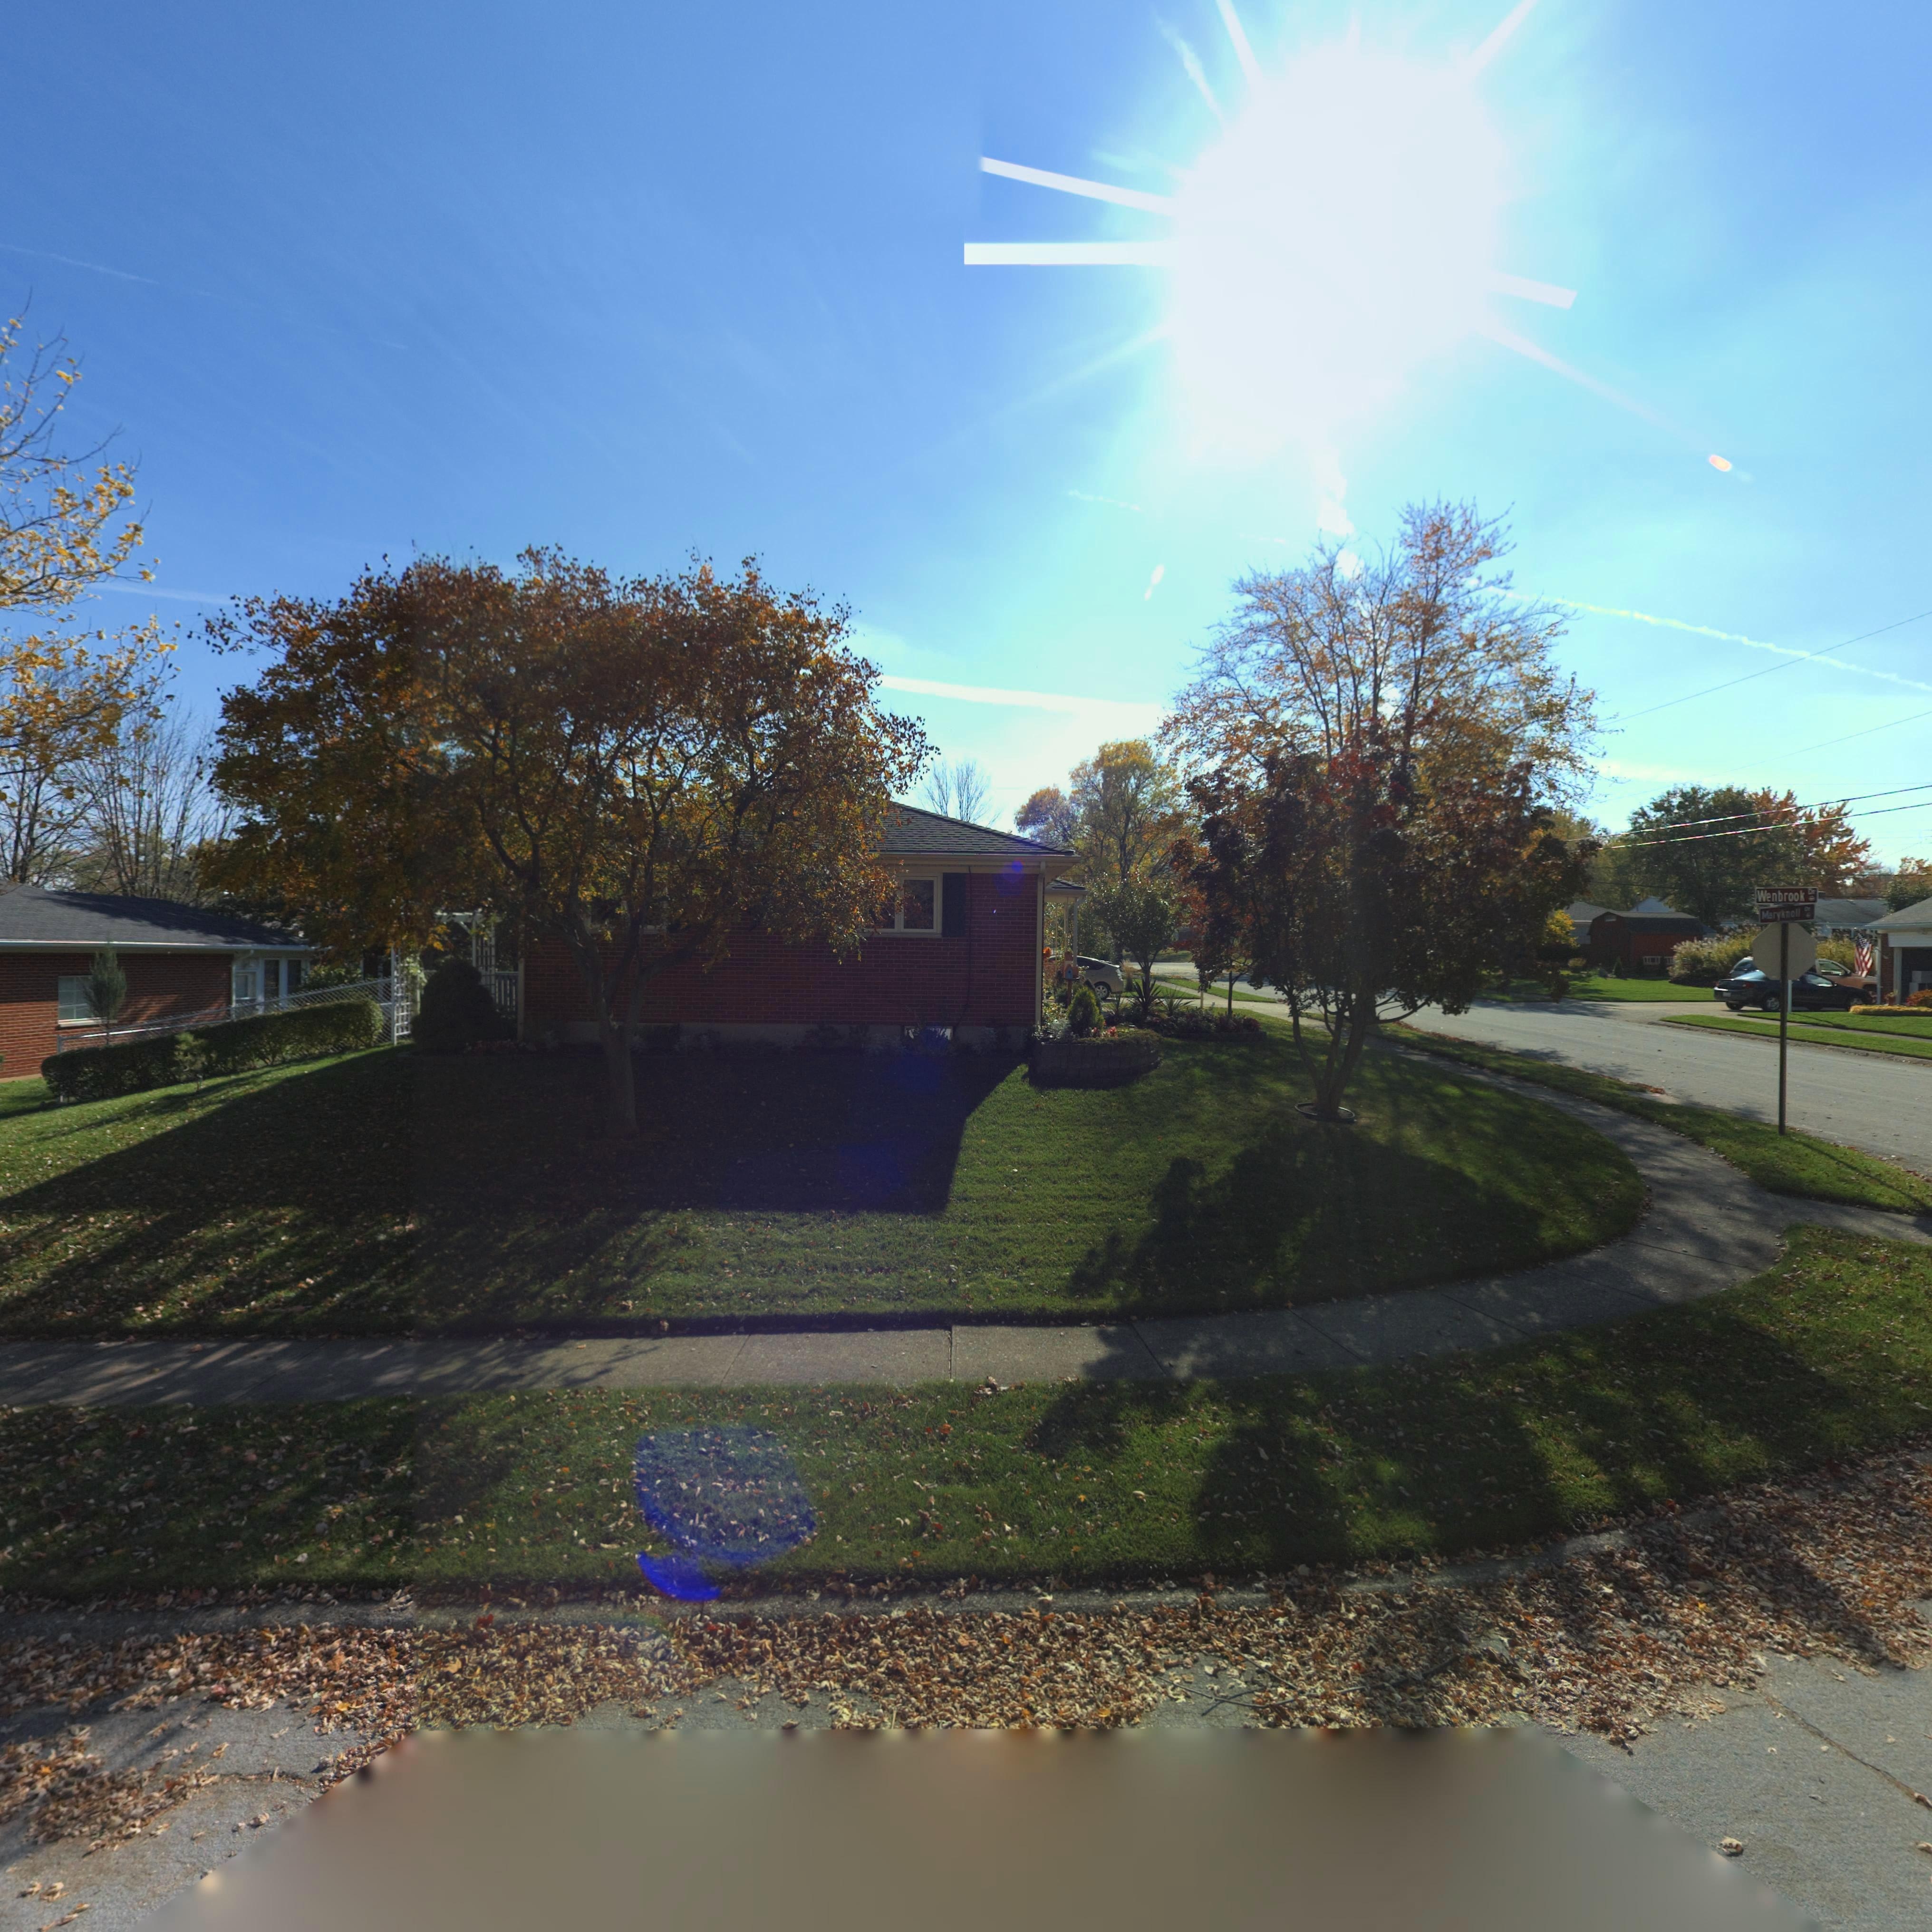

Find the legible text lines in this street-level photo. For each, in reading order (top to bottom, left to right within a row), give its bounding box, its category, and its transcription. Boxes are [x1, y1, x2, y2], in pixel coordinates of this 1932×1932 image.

[1757, 888, 1816, 902] StreetName: Wenbrook Dr
[1761, 906, 1812, 921] StreetName: Maryknoll Dr